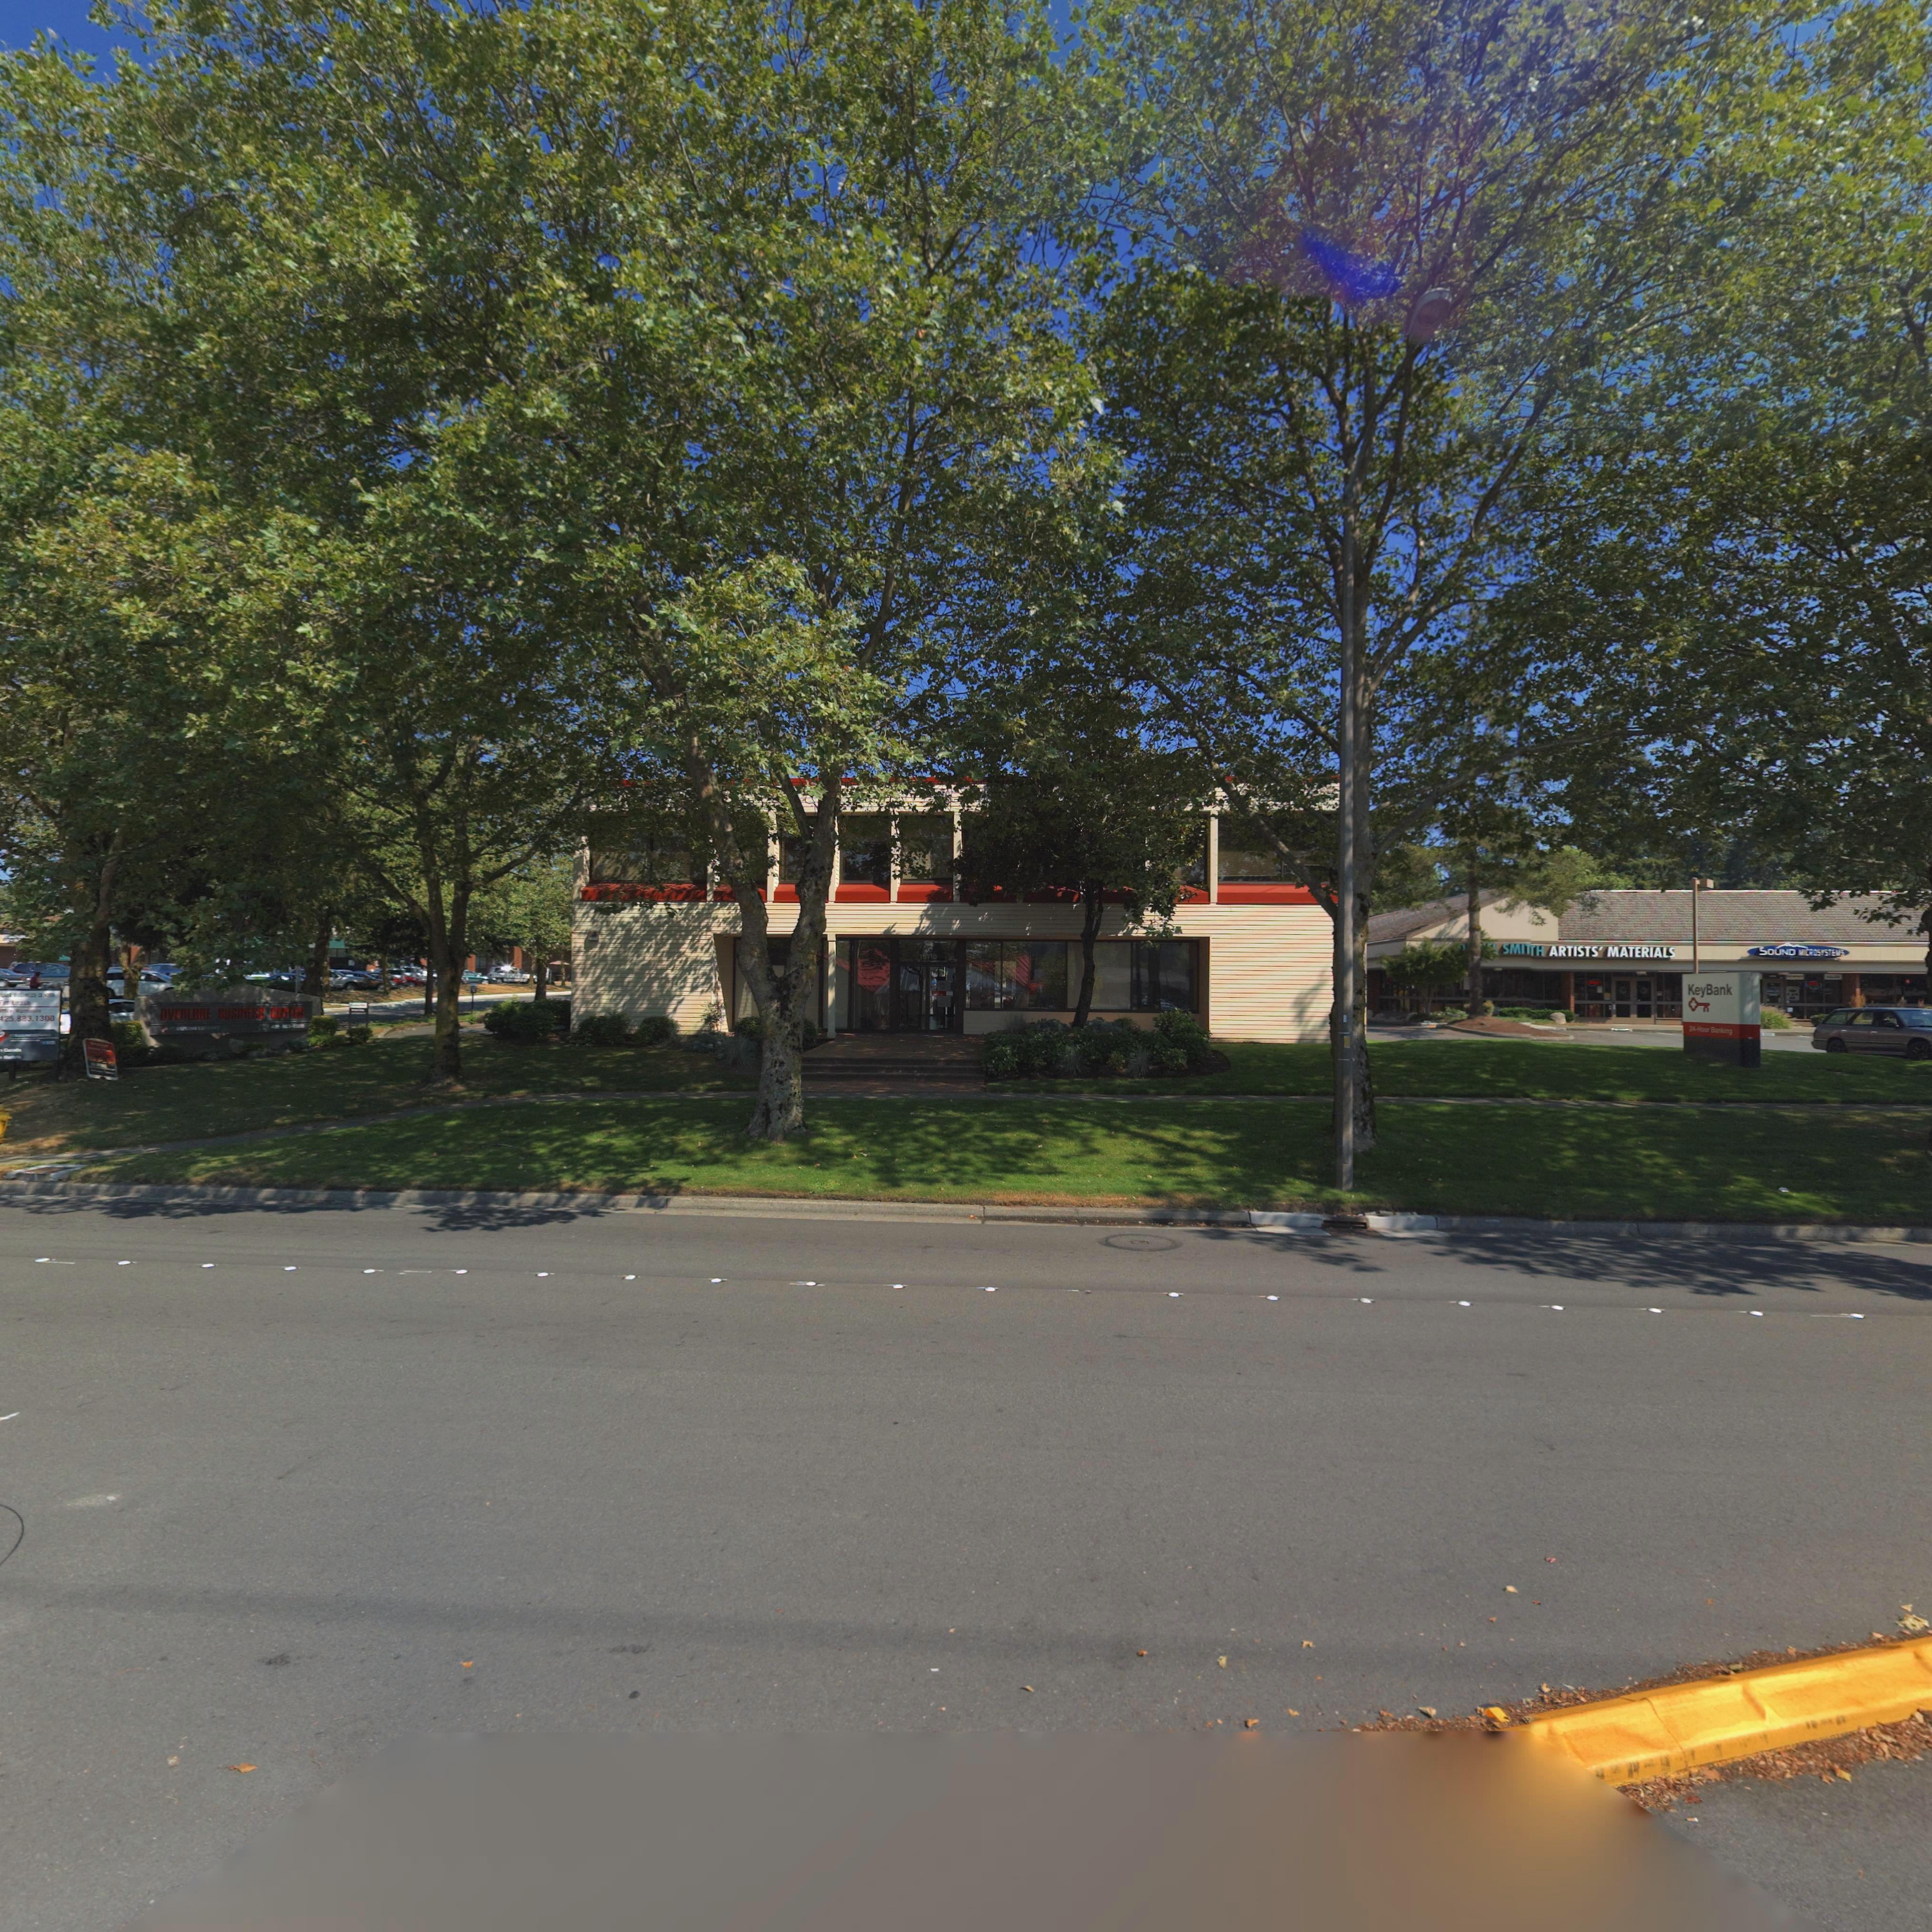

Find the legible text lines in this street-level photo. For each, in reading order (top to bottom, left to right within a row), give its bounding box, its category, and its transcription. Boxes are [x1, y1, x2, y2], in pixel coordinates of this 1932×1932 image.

[1550, 945, 1675, 957] BusinessName: ARTISTS MATERIALS
[1758, 946, 1846, 957] BusinessName: SOUND MICROSYSTEMS
[1687, 983, 1732, 999] BusinessName: KeyBank
[1688, 1025, 1734, 1037] BusinessName: 24-Hour Banking